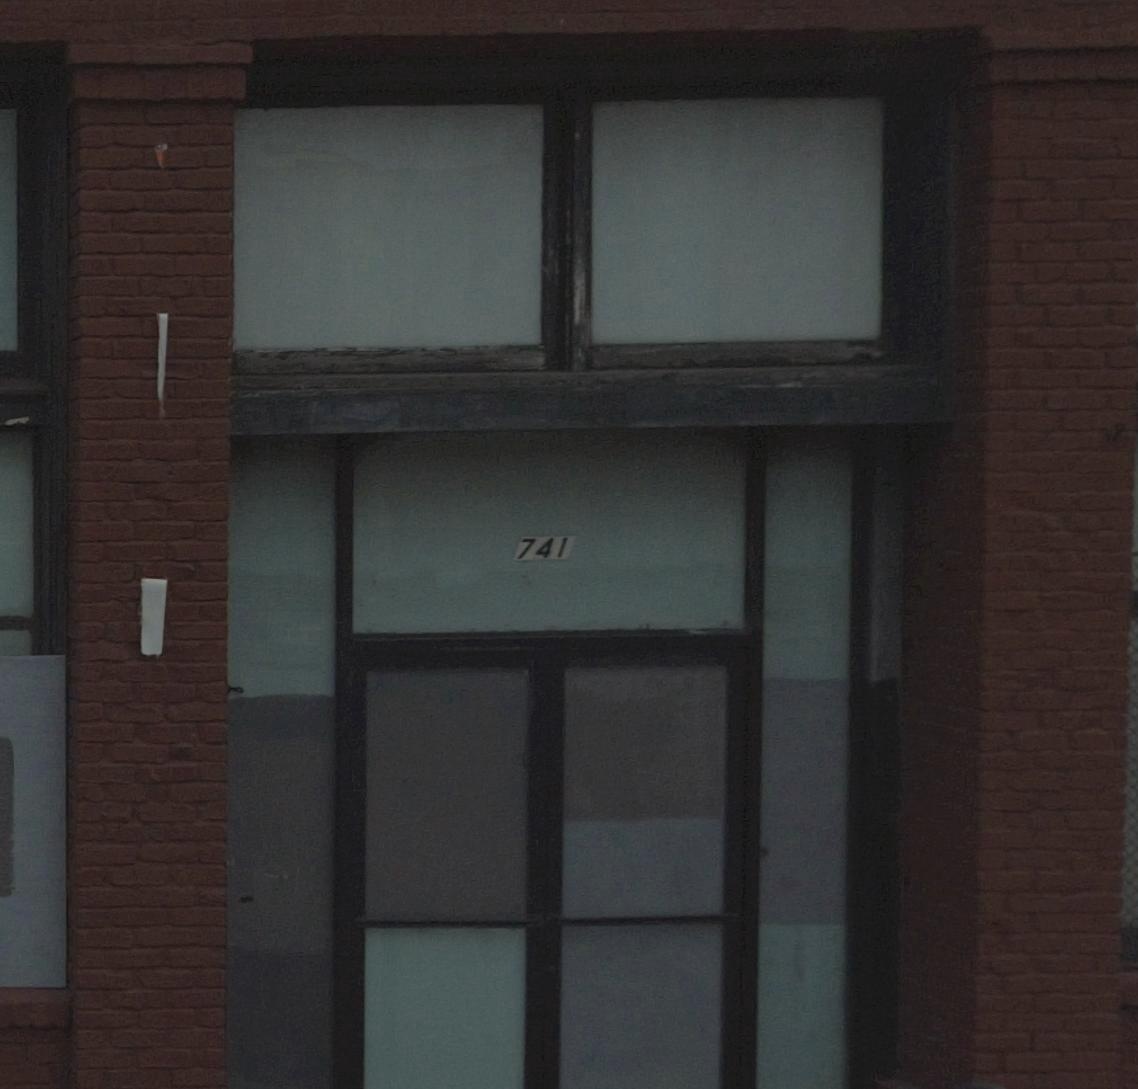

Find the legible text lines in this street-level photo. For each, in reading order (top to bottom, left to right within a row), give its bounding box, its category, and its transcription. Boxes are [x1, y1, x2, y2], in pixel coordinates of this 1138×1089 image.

[515, 536, 570, 561] StreetNumber: 741